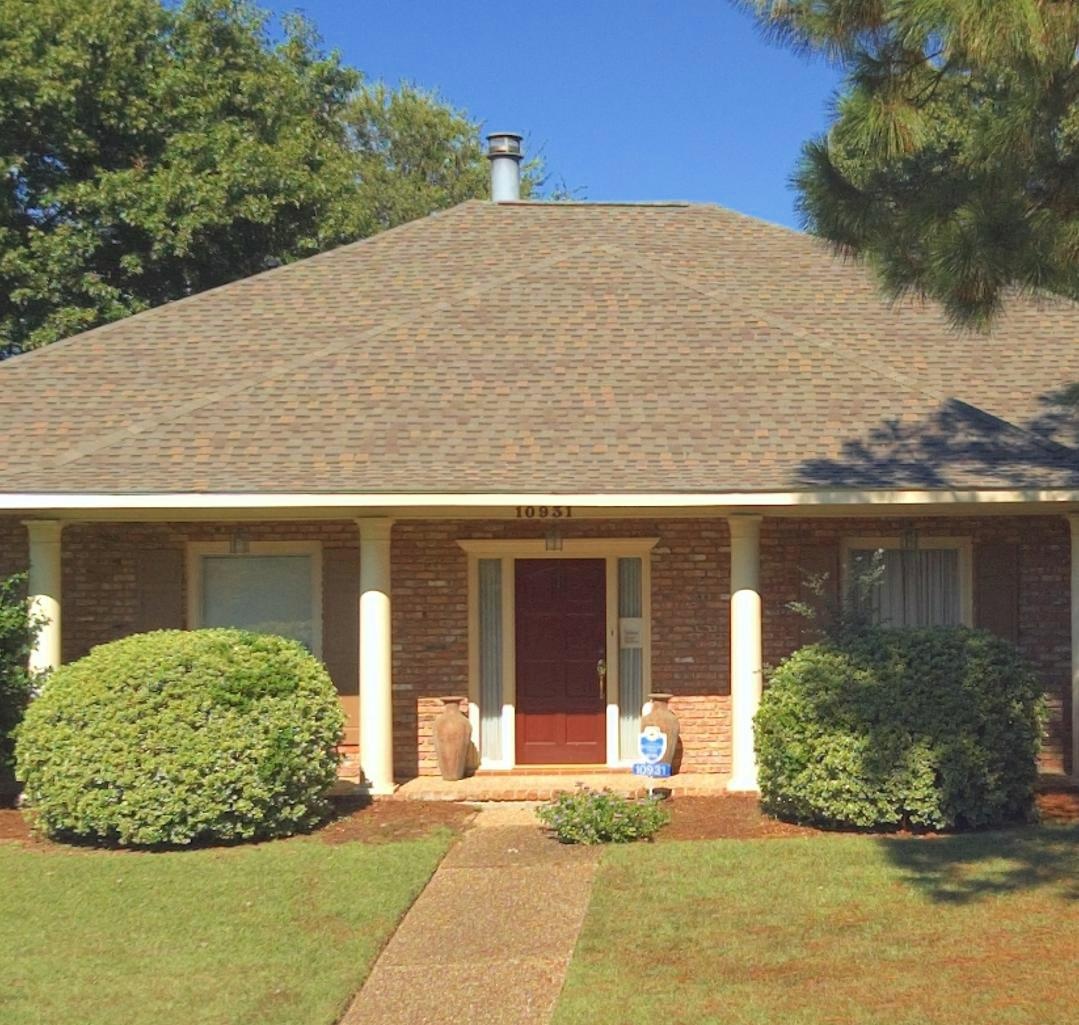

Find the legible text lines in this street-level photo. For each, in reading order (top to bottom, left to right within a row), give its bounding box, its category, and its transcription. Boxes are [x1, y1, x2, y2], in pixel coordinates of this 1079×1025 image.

[514, 506, 573, 519] StreetNumber: 10931
[635, 764, 666, 775] StreetNumber: 10931